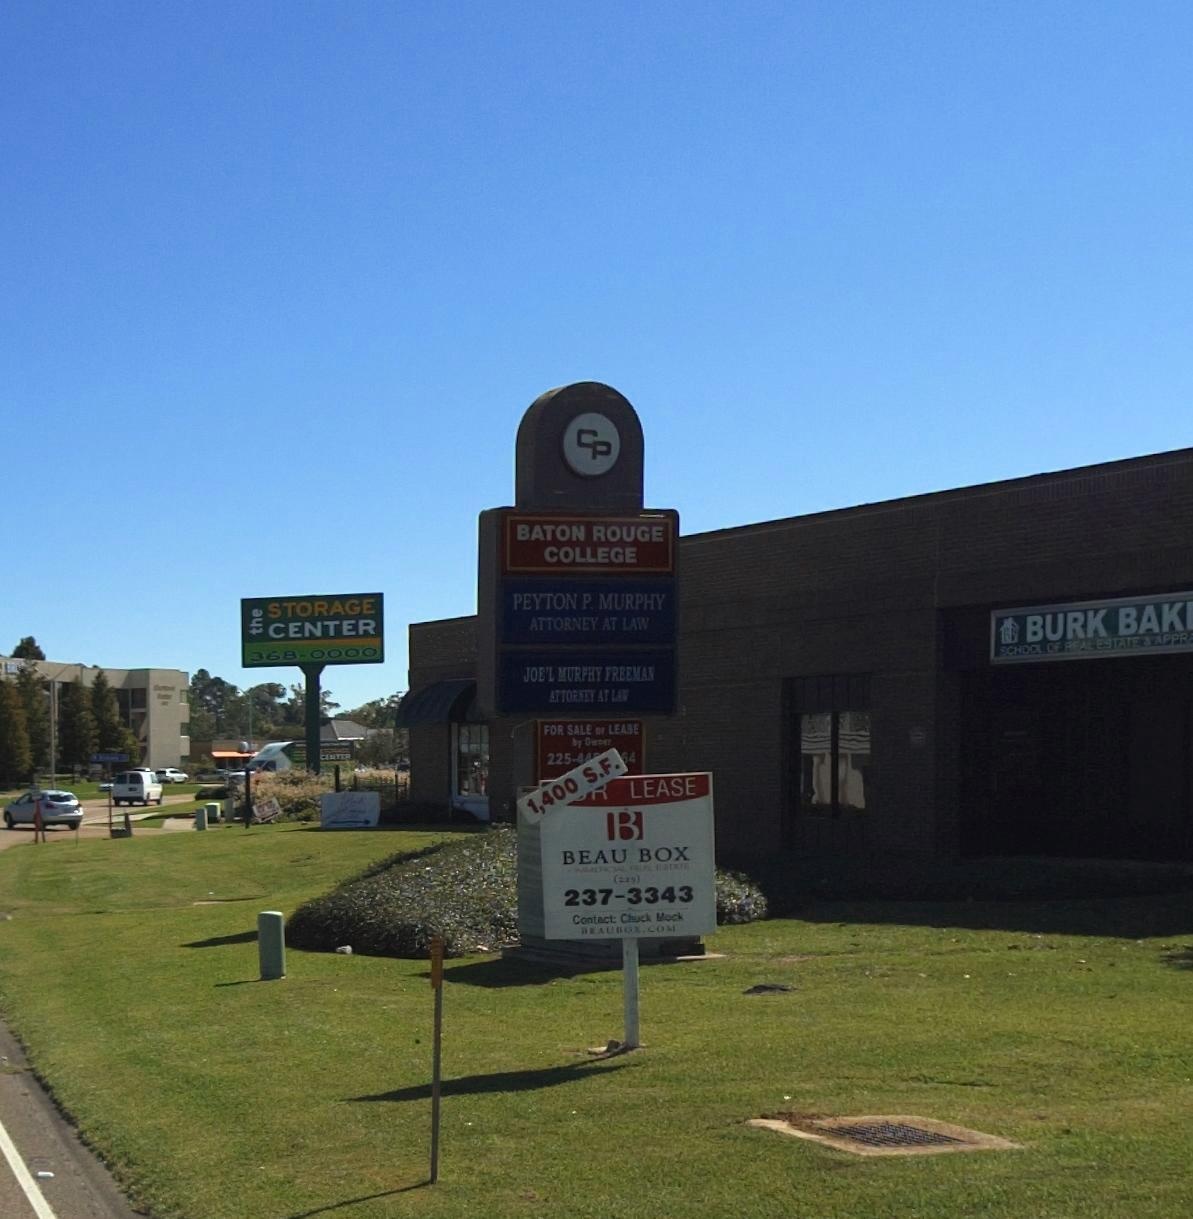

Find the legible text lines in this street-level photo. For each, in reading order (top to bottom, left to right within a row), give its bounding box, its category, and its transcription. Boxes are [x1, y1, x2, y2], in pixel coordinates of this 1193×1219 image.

[571, 426, 616, 465] None: CP
[514, 523, 666, 545] BusinessName: BATON ROUGE
[540, 544, 641, 566] BusinessName: COLLEGE
[266, 595, 380, 622] BusinessName: STORAGE
[510, 590, 669, 613] BusinessName: PEYTON P. MURPHY
[246, 606, 267, 639] BusinessName: the
[264, 616, 380, 643] BusinessName: CENTER
[525, 614, 654, 635] BusinessName: ATTORNEY AT LAW
[1024, 599, 1187, 645] BusinessName: BURK BAK
[1161, 630, 1190, 647] None: PPR
[247, 644, 381, 665] None: 368-0000
[998, 642, 1048, 658] None: SCHOOL
[519, 663, 658, 686] BusinessName: JOE'L MURPHY FREEMAN
[542, 686, 634, 707] BusinessName: ATTOR*** AT L**
[541, 720, 642, 738] None: FOR SALE or LEASE
[570, 735, 585, 752] None: by
[544, 750, 574, 768] None: 225
[627, 748, 638, 766] None: 4
[520, 752, 625, 820] None: 1,400 S.F.
[627, 774, 700, 803] None: LEASE
[609, 807, 643, 844] None: B
[559, 843, 693, 869] None: BEAU BOX
[562, 883, 697, 909] None: 237-3343
[569, 909, 689, 927] None: Contact Chuck Mock
[579, 921, 680, 938] None: BEAU**X.COM